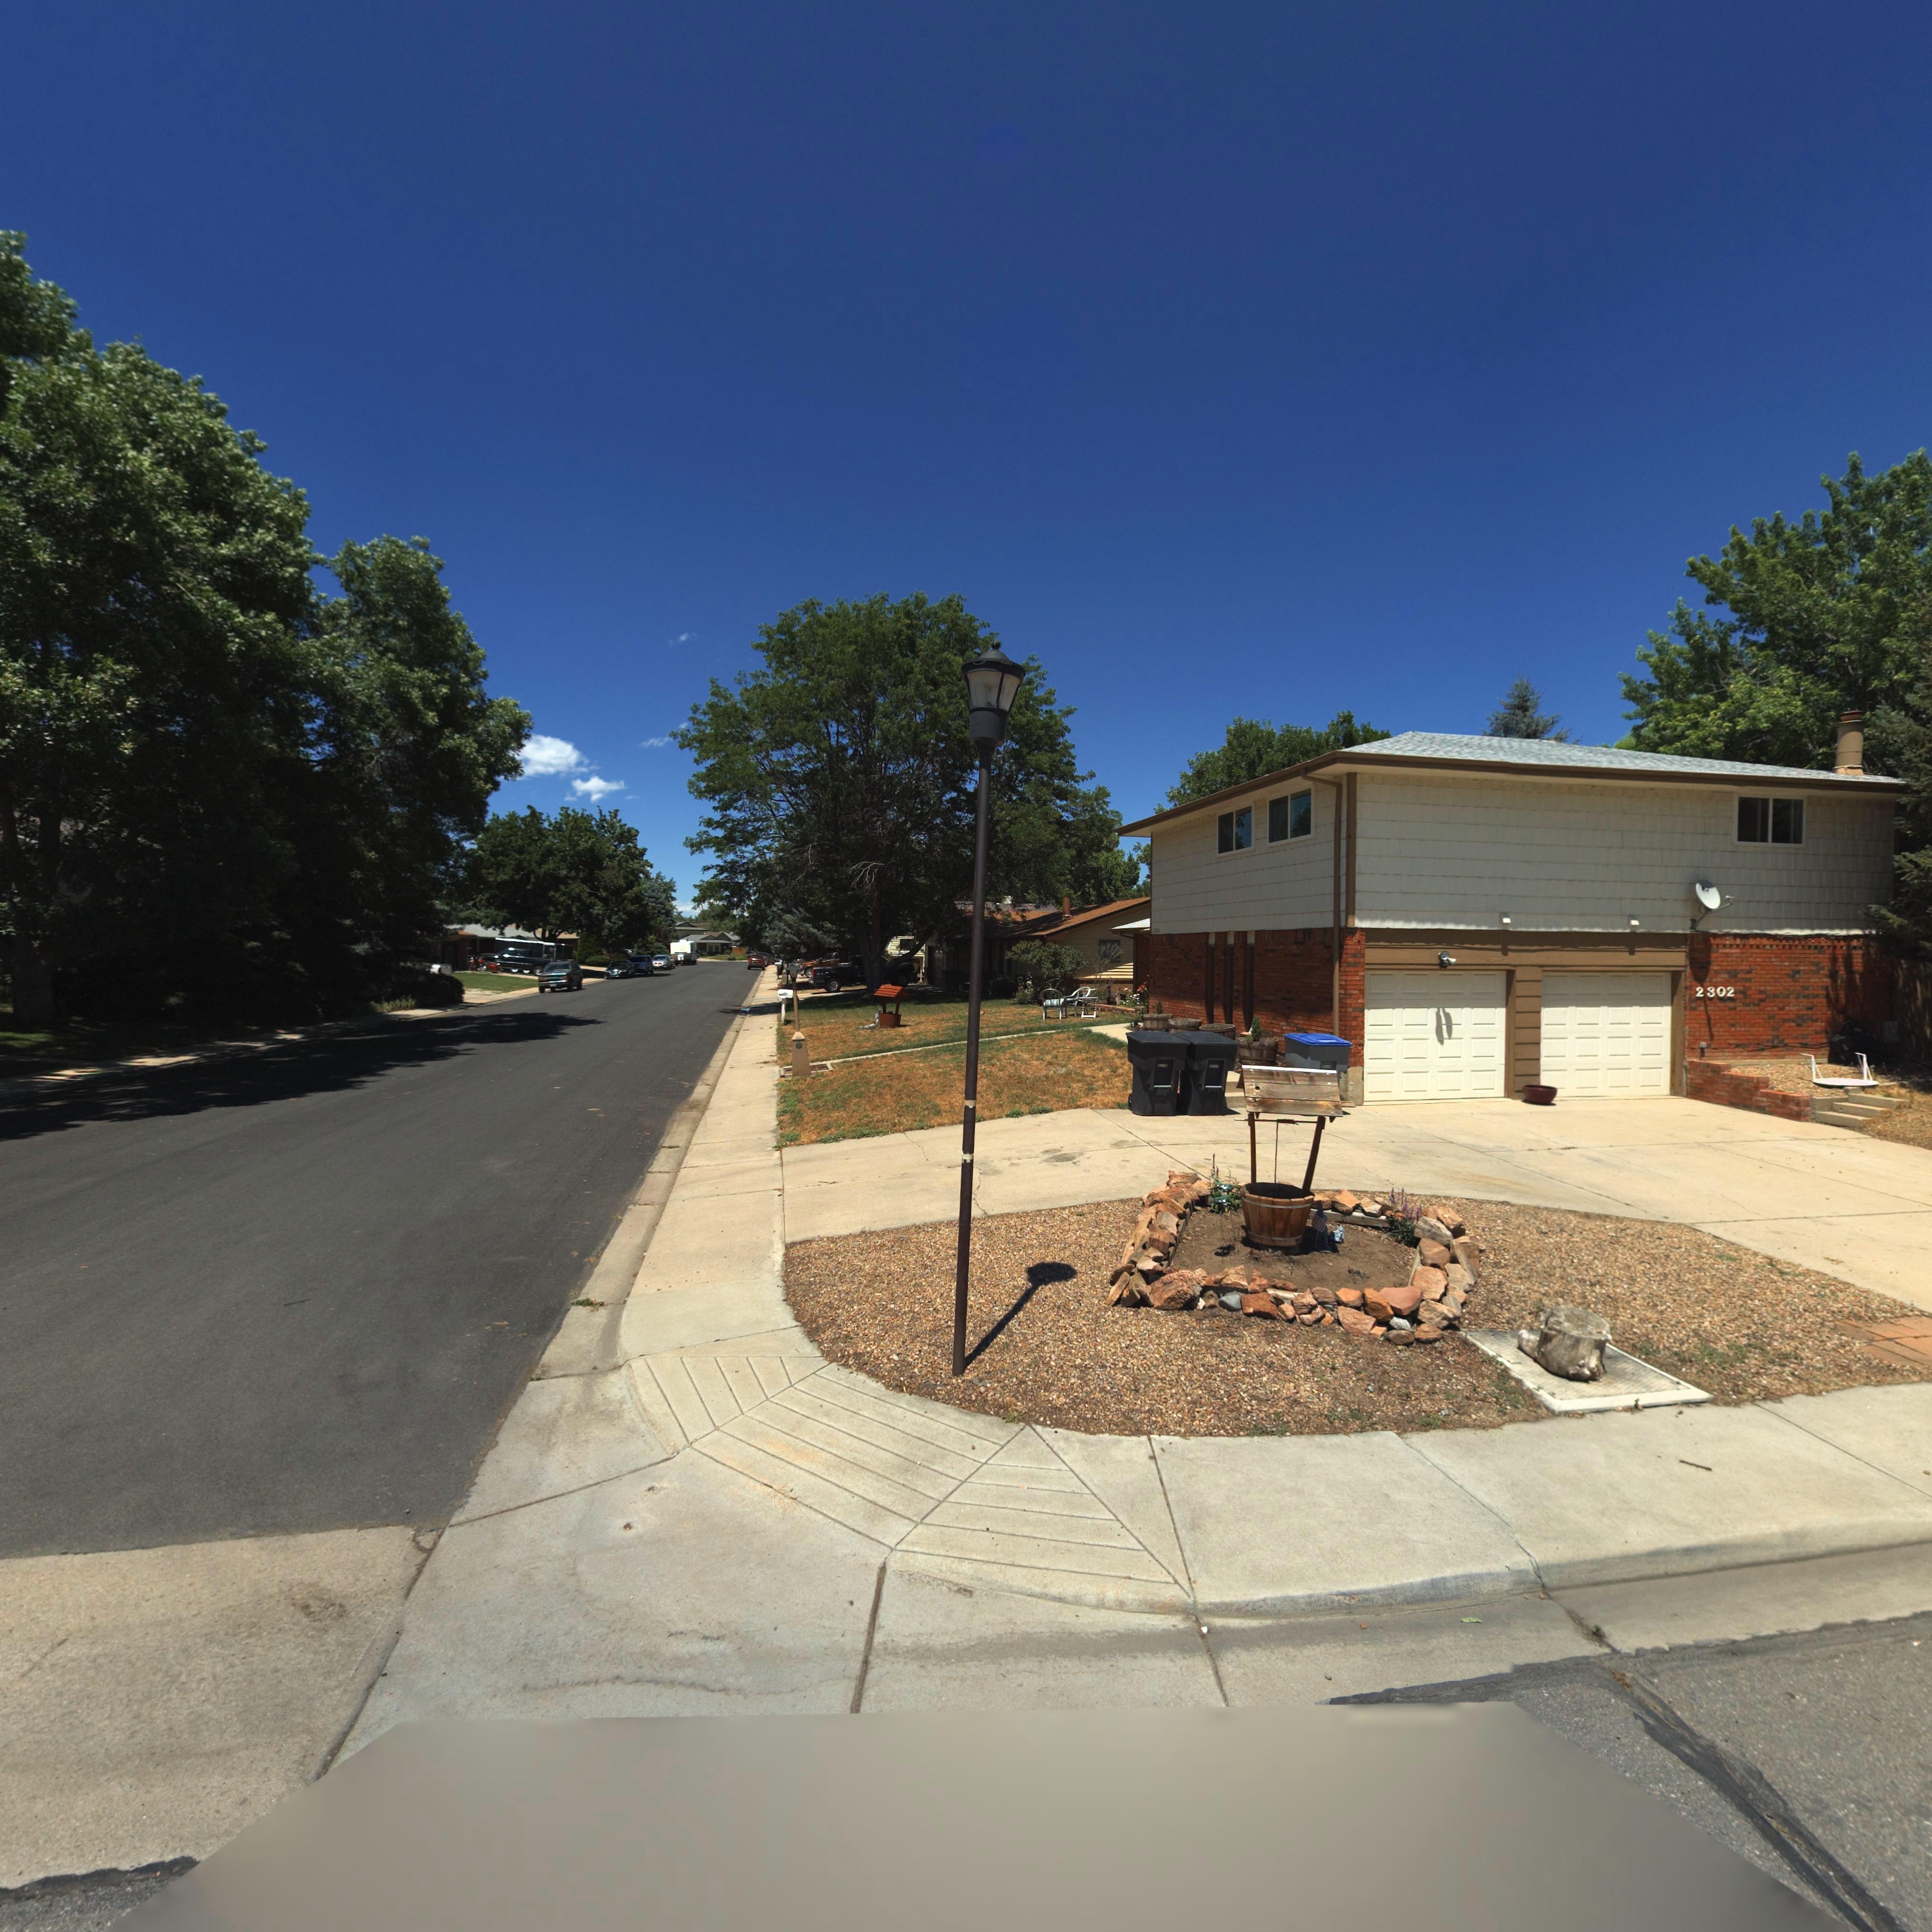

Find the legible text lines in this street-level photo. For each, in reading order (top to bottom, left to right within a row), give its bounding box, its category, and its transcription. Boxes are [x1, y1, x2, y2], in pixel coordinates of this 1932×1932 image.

[1695, 986, 1735, 997] StreetNumber: 2302